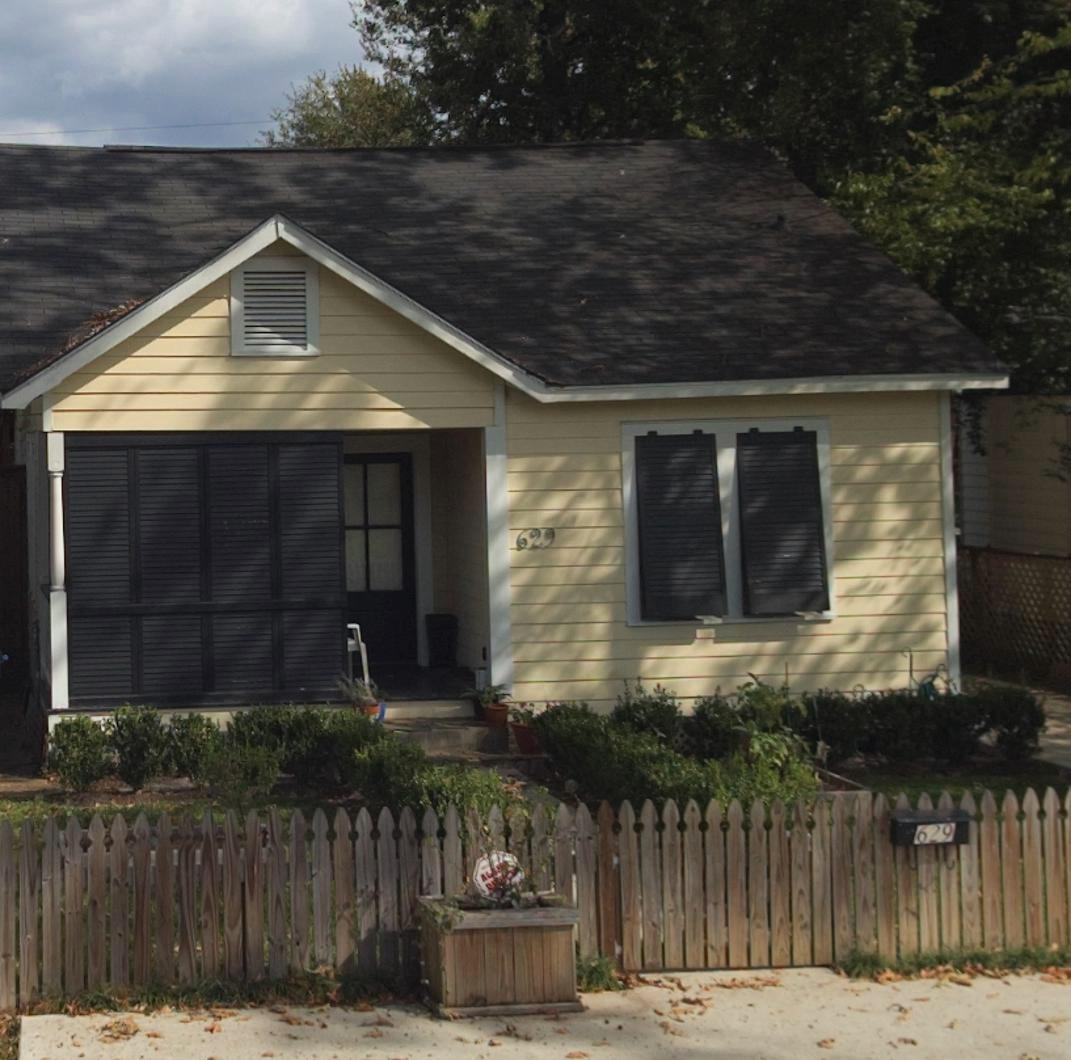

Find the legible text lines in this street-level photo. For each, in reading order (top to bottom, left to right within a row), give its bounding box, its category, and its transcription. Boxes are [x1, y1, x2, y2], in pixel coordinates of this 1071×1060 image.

[514, 527, 557, 552] StreetNumber: 629
[913, 822, 956, 845] StreetNumber: 629